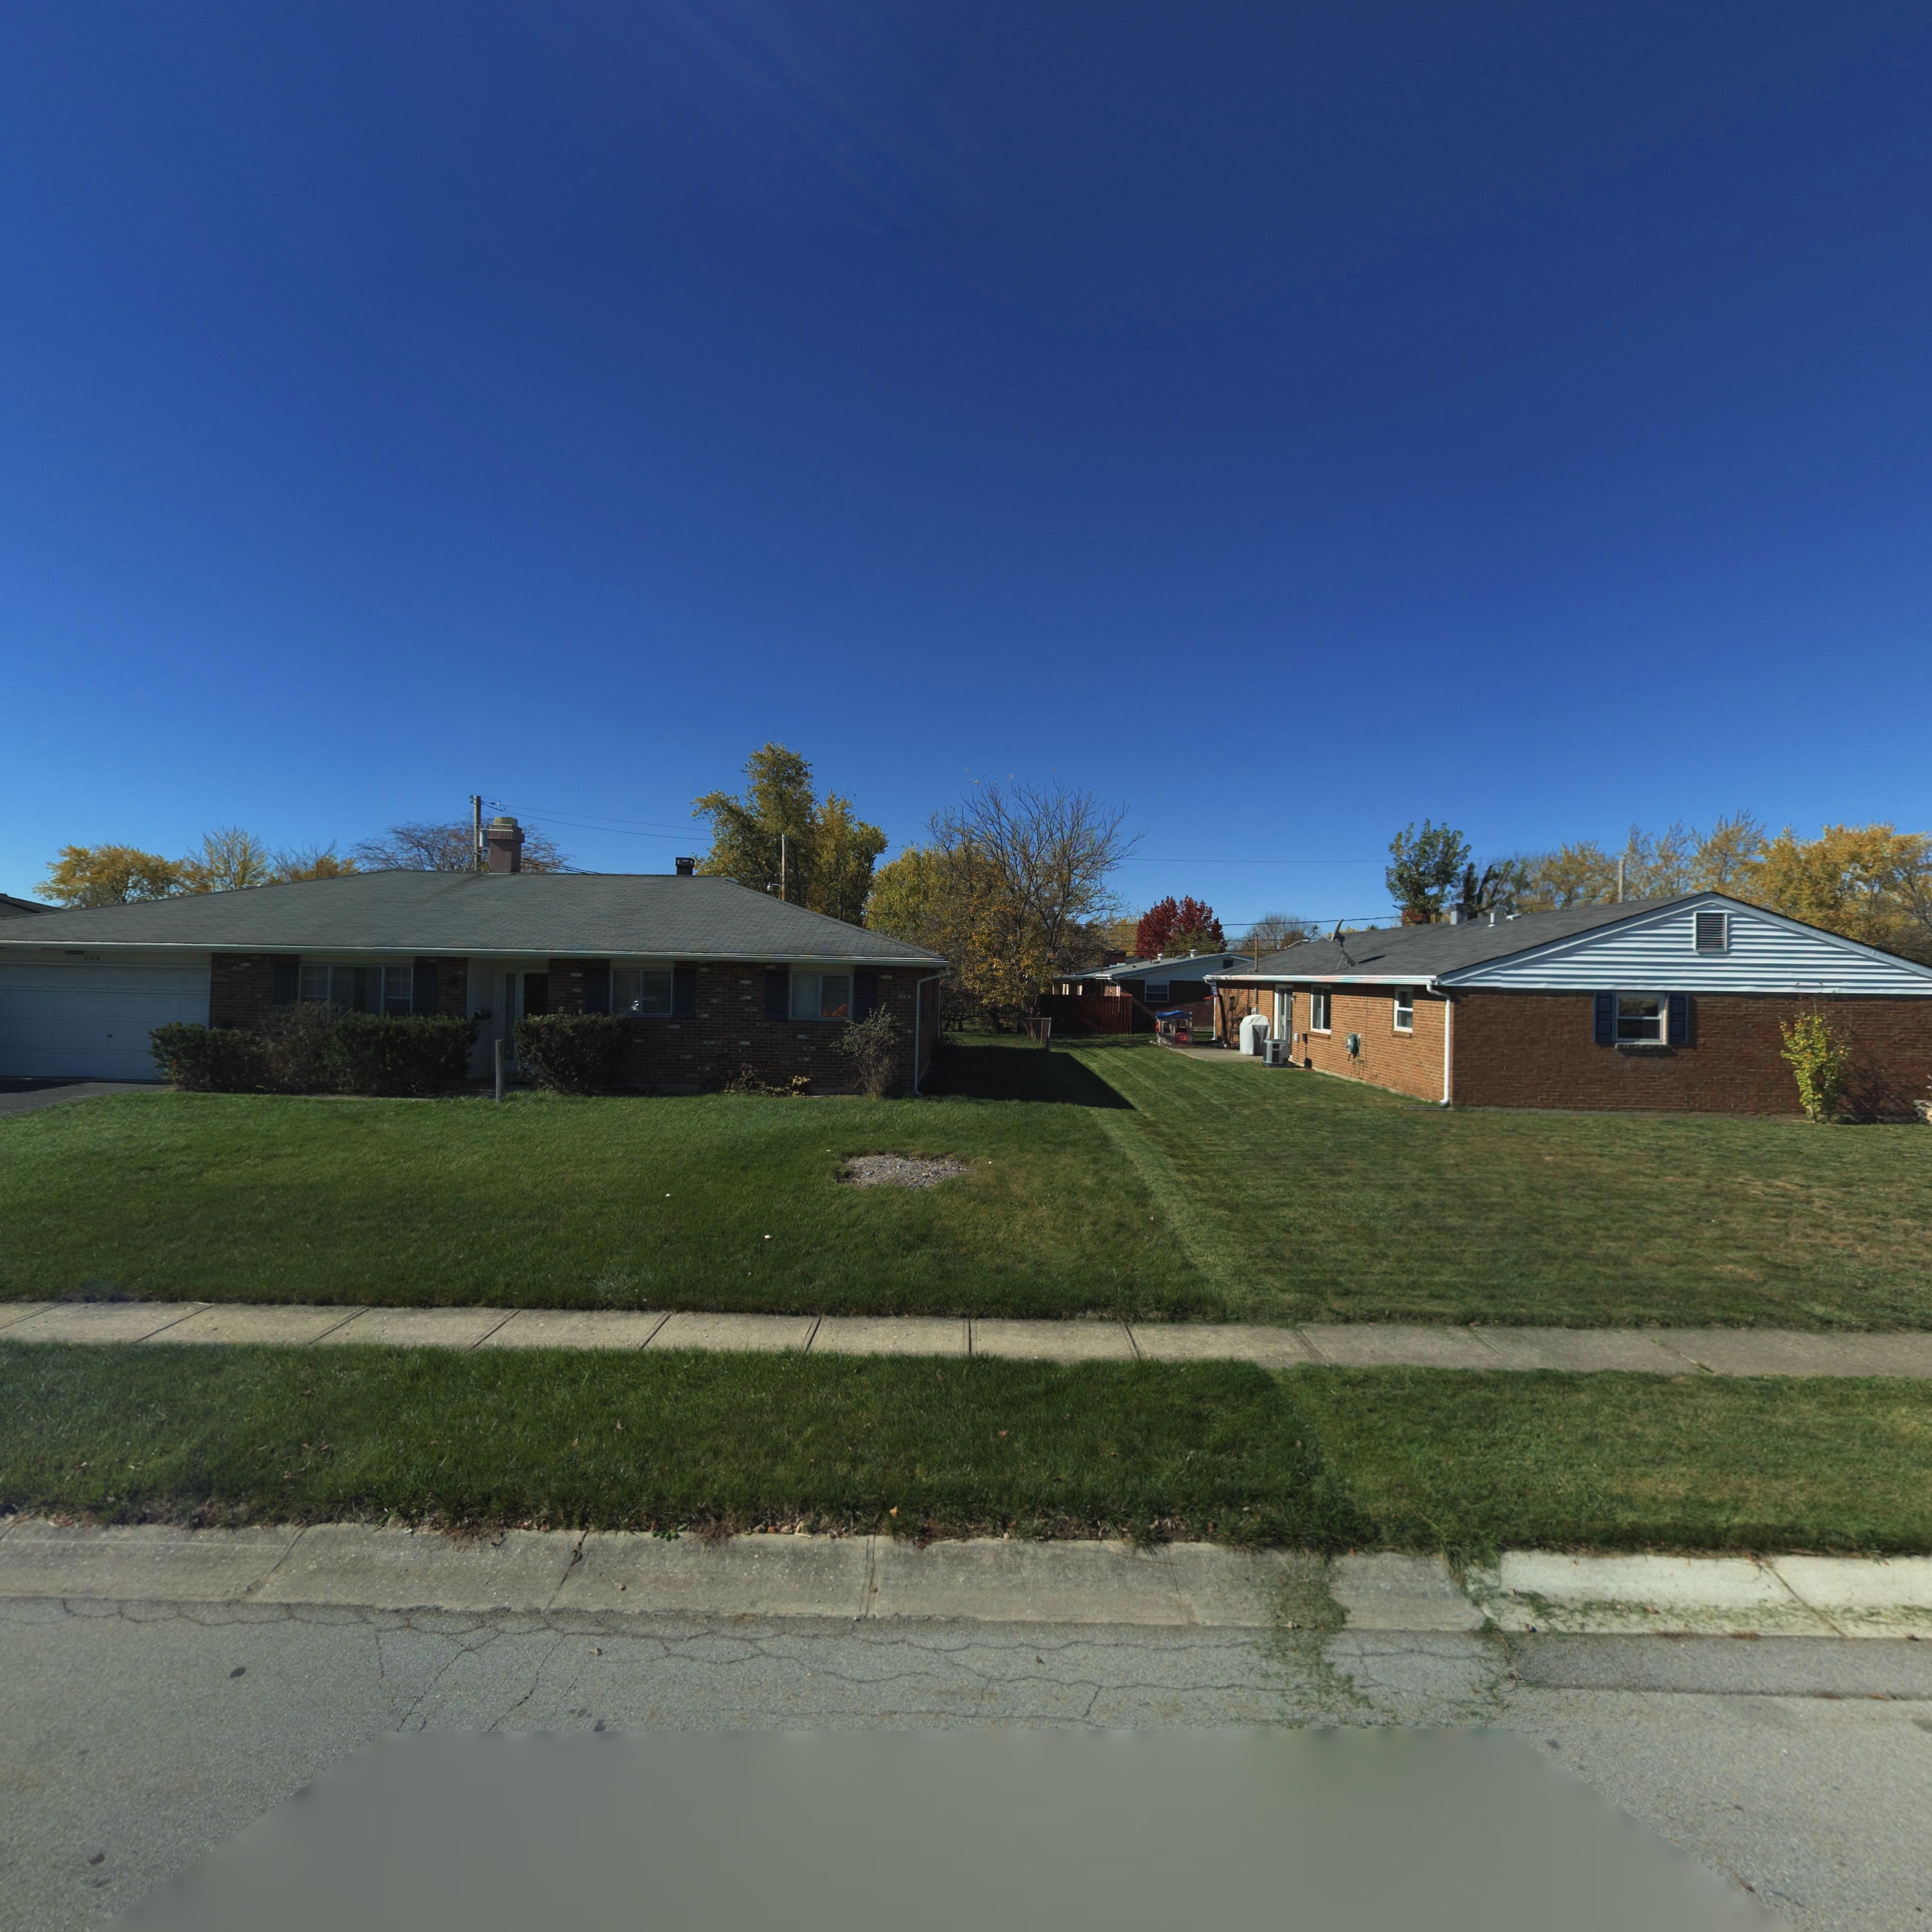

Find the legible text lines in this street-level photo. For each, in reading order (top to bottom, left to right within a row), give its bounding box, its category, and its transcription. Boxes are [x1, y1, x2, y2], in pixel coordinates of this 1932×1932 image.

[83, 955, 100, 961] StreetNumber: 2*3